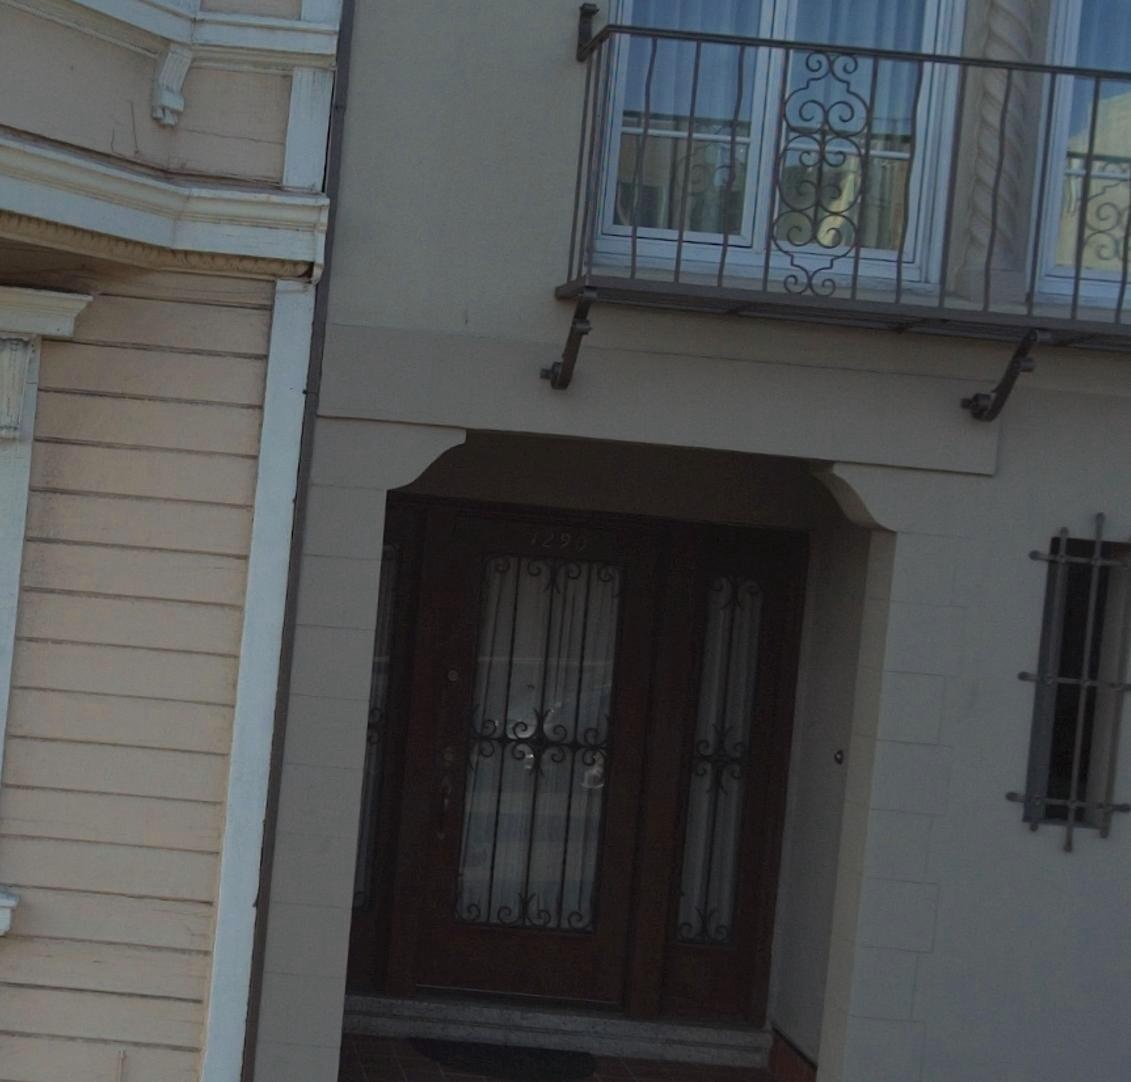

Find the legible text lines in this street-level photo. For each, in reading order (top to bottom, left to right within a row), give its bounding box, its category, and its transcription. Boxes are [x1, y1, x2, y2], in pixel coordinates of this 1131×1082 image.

[525, 526, 591, 554] StreetNumber: 1290